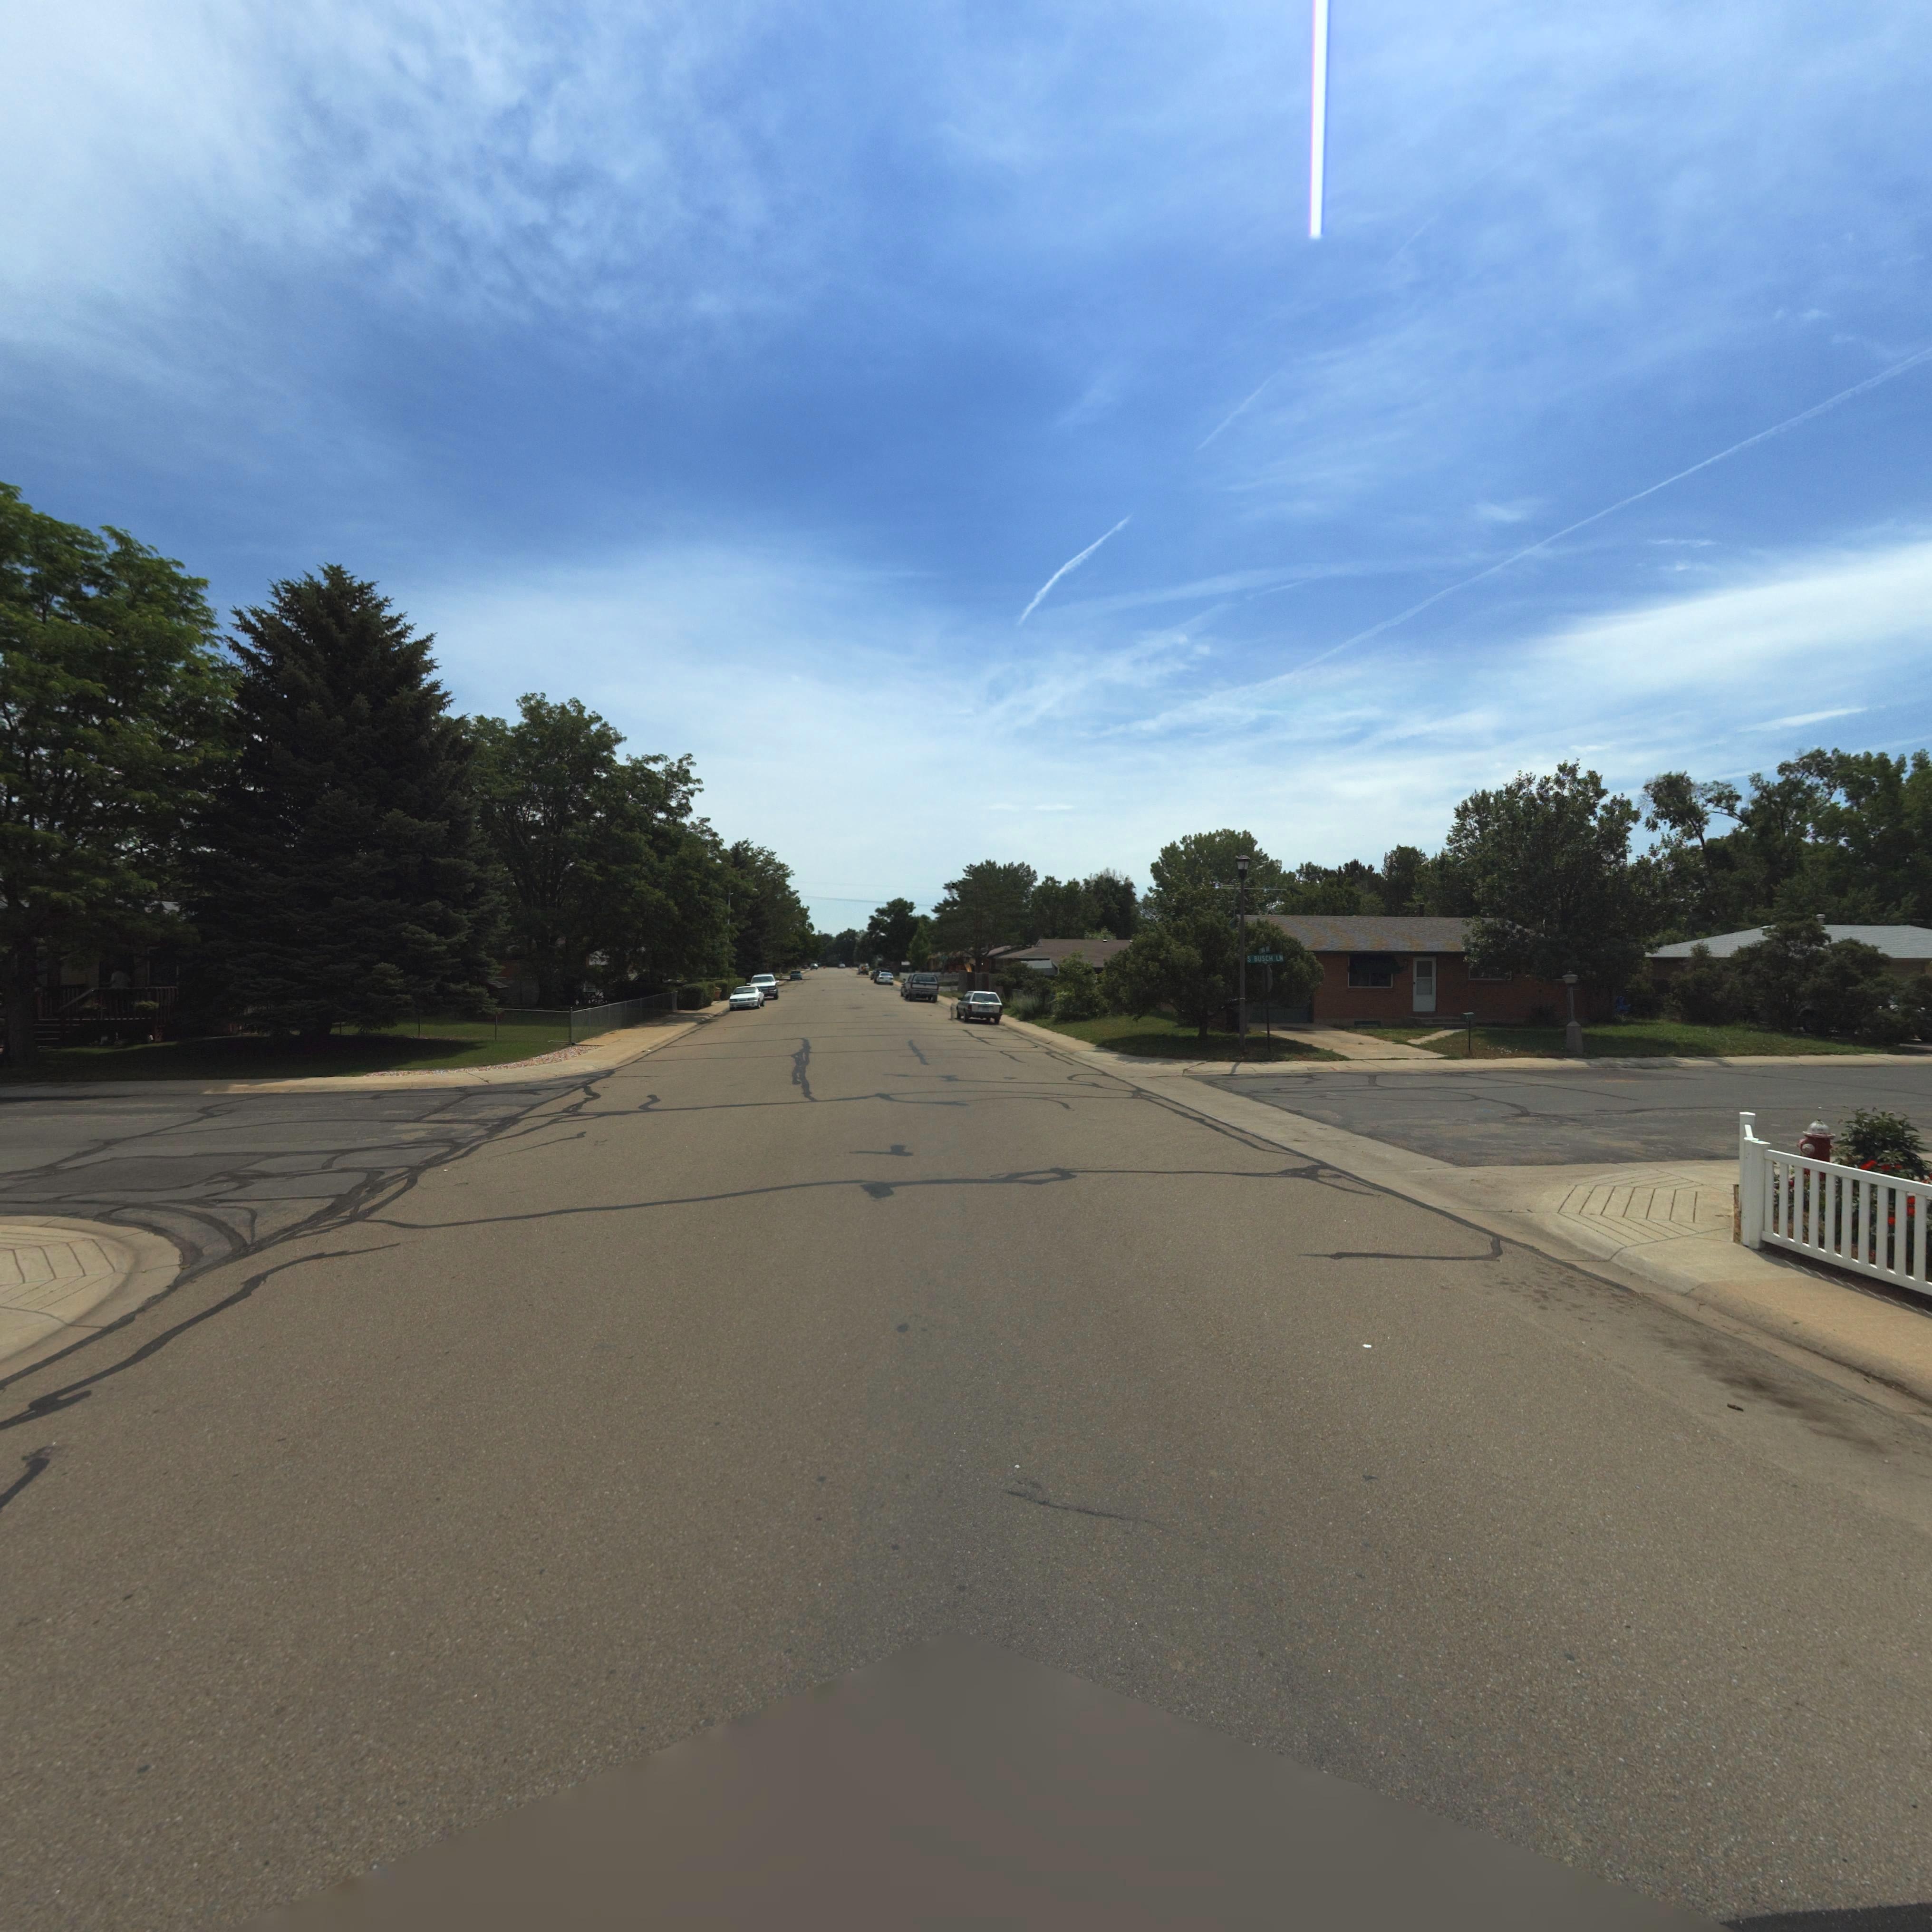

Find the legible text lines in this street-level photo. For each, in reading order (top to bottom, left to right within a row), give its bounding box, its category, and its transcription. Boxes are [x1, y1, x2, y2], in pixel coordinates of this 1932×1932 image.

[1246, 955, 1283, 962] StreetName: S BUSCH LN